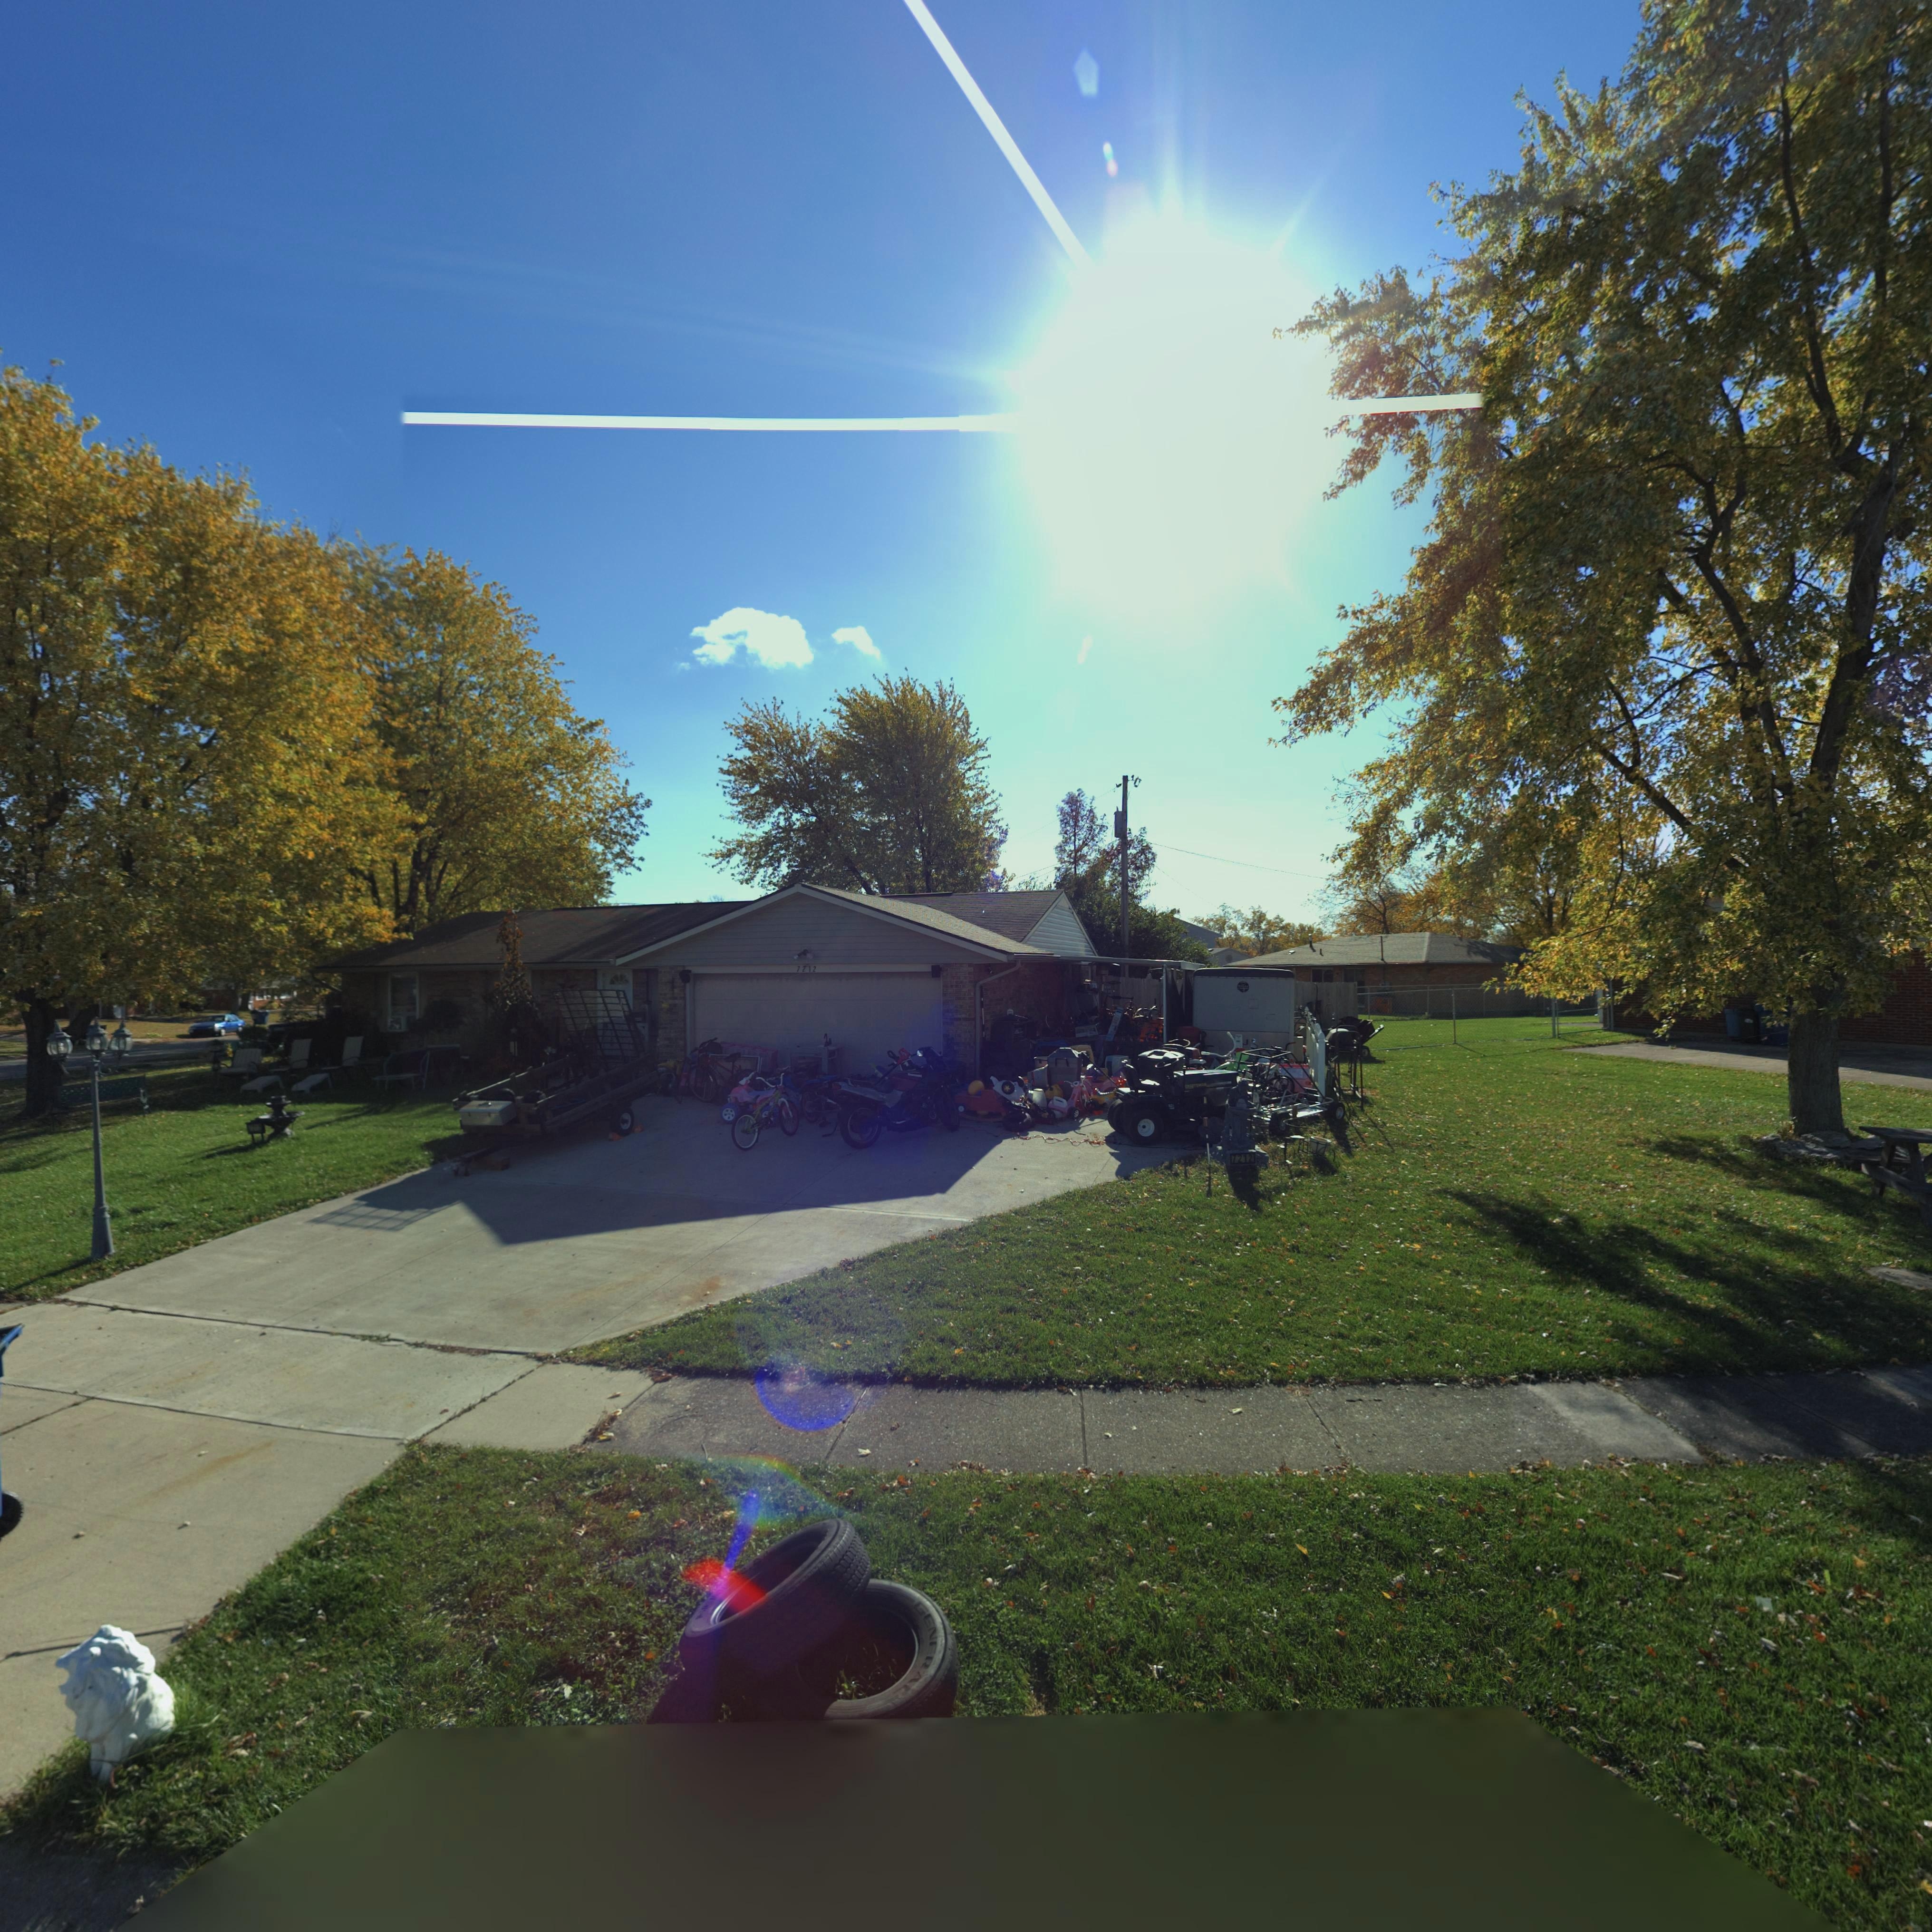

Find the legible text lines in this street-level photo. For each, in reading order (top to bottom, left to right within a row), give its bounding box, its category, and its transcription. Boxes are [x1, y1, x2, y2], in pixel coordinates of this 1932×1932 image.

[795, 965, 817, 973] StreetNumber: 7212
[1231, 1153, 1254, 1164] StreetNumber: 7212